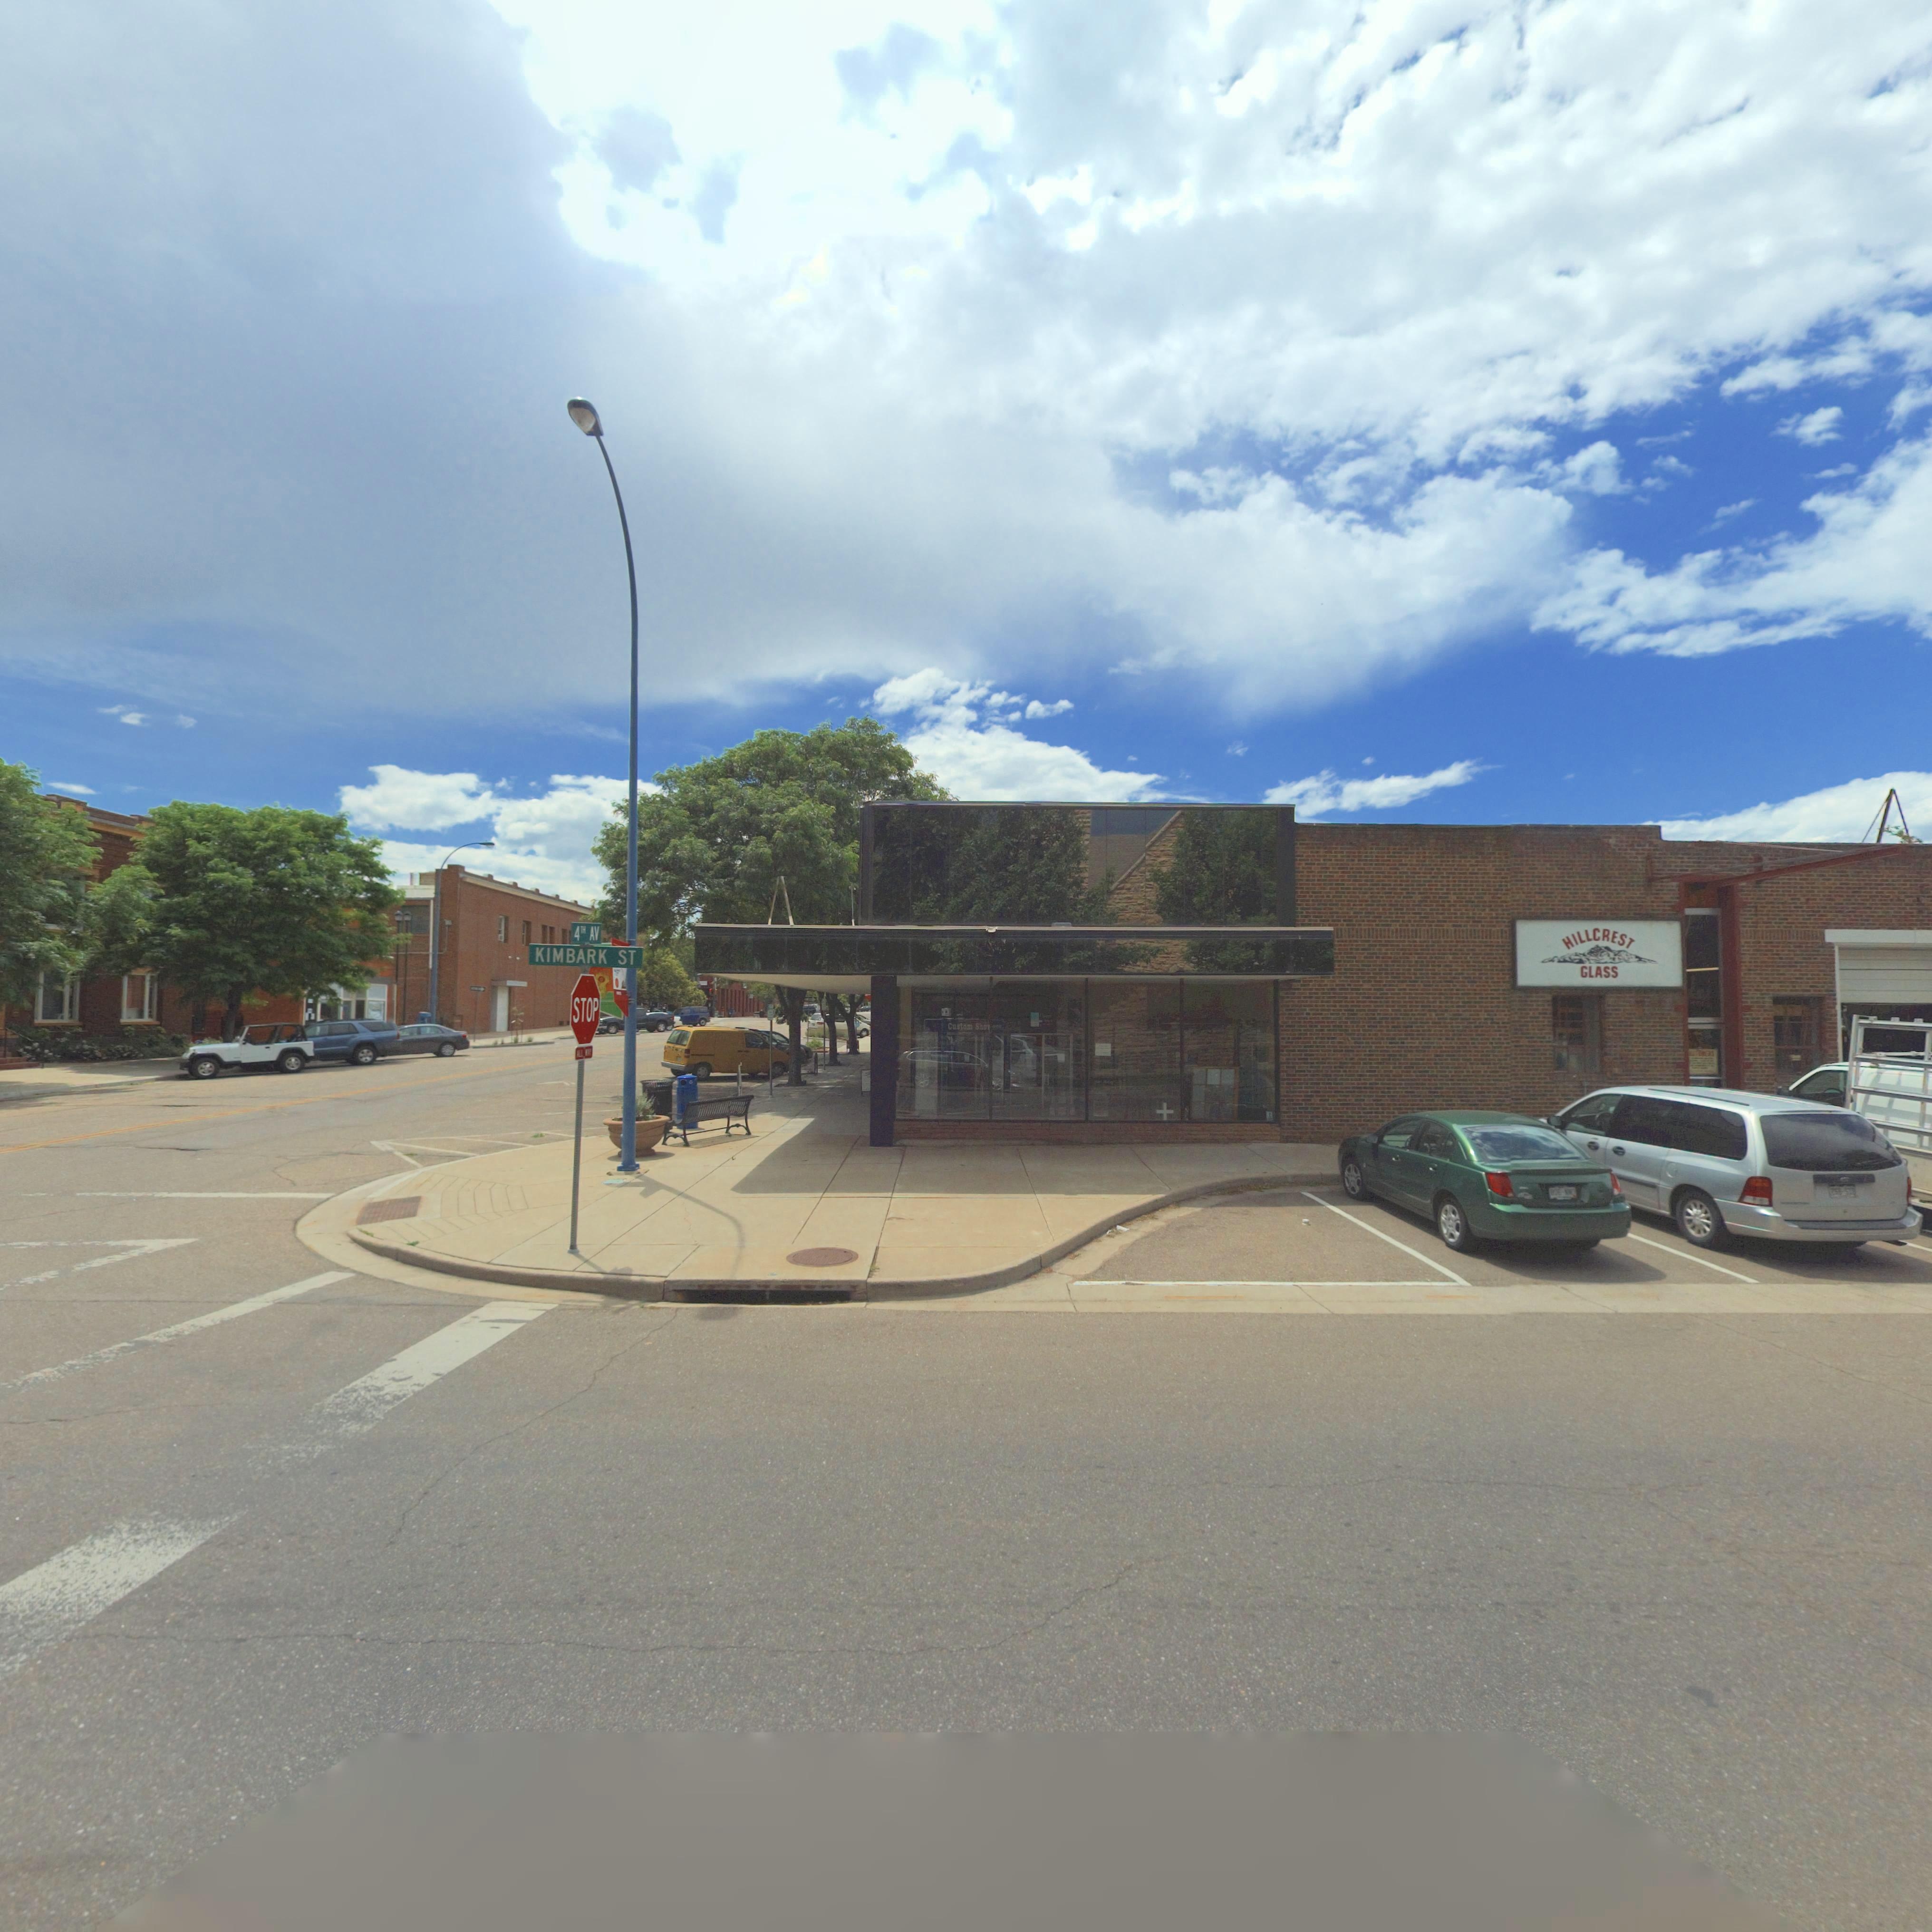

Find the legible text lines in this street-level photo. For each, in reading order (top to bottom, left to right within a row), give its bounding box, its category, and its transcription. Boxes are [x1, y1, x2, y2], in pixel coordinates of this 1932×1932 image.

[573, 926, 600, 941] StreetName: 4TH AV
[1561, 927, 1635, 950] BusinessName: HILLCREST
[535, 947, 637, 965] StreetName: KIMBARK ST
[1580, 965, 1619, 978] BusinessName: GLASS